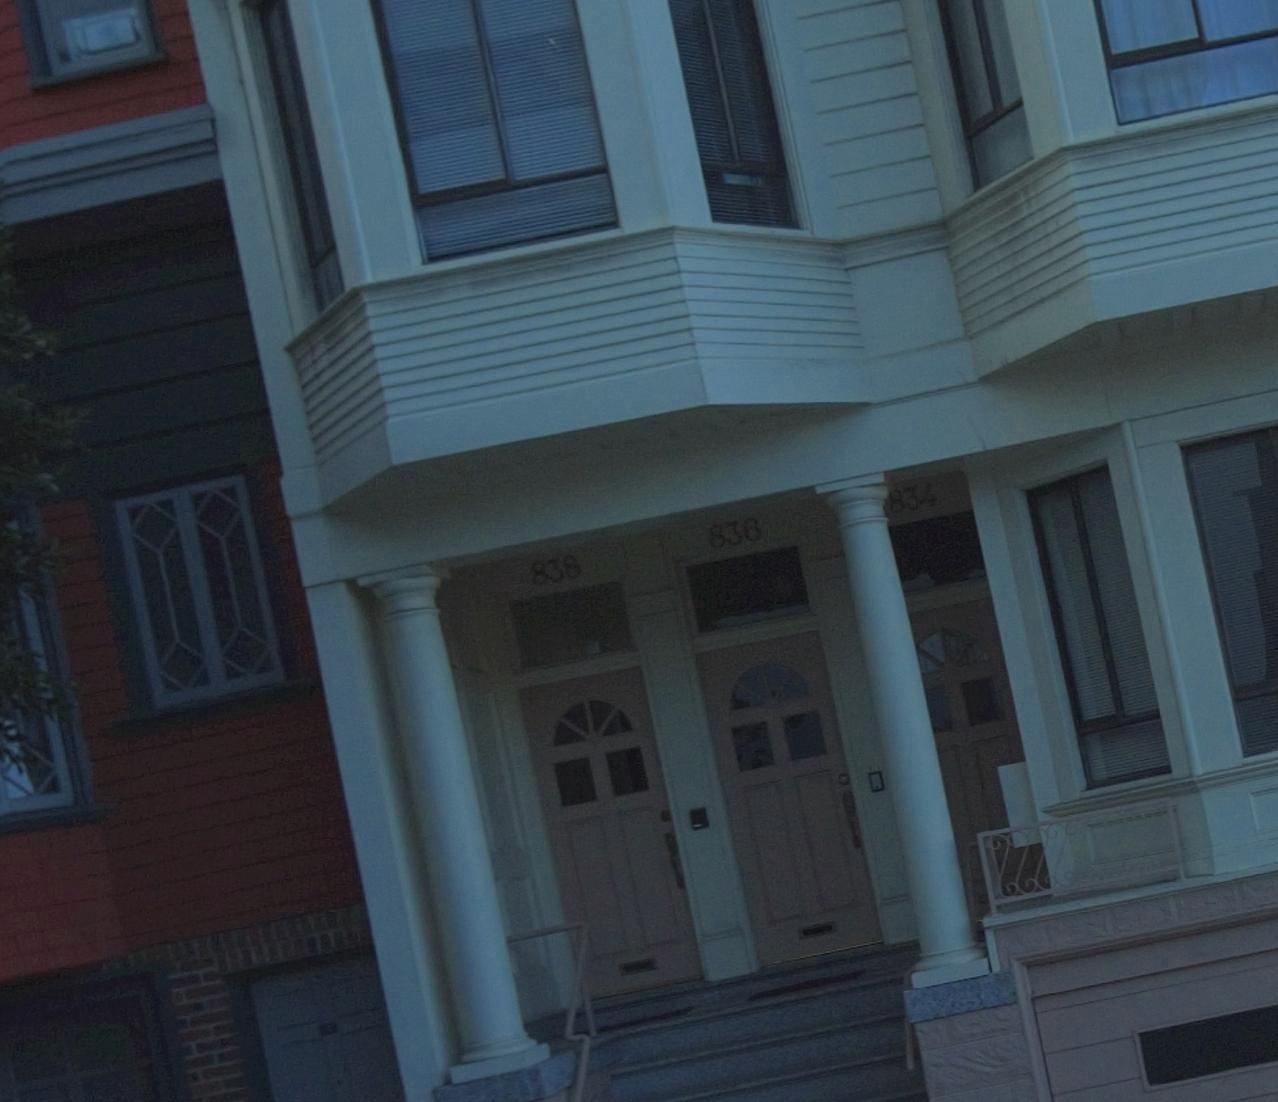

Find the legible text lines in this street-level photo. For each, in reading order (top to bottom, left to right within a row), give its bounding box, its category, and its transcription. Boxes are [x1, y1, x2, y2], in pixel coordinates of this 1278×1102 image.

[886, 479, 942, 515] StreetNumber: 834
[707, 516, 765, 551] StreetNumber: 836
[529, 552, 584, 588] StreetNumber: 838